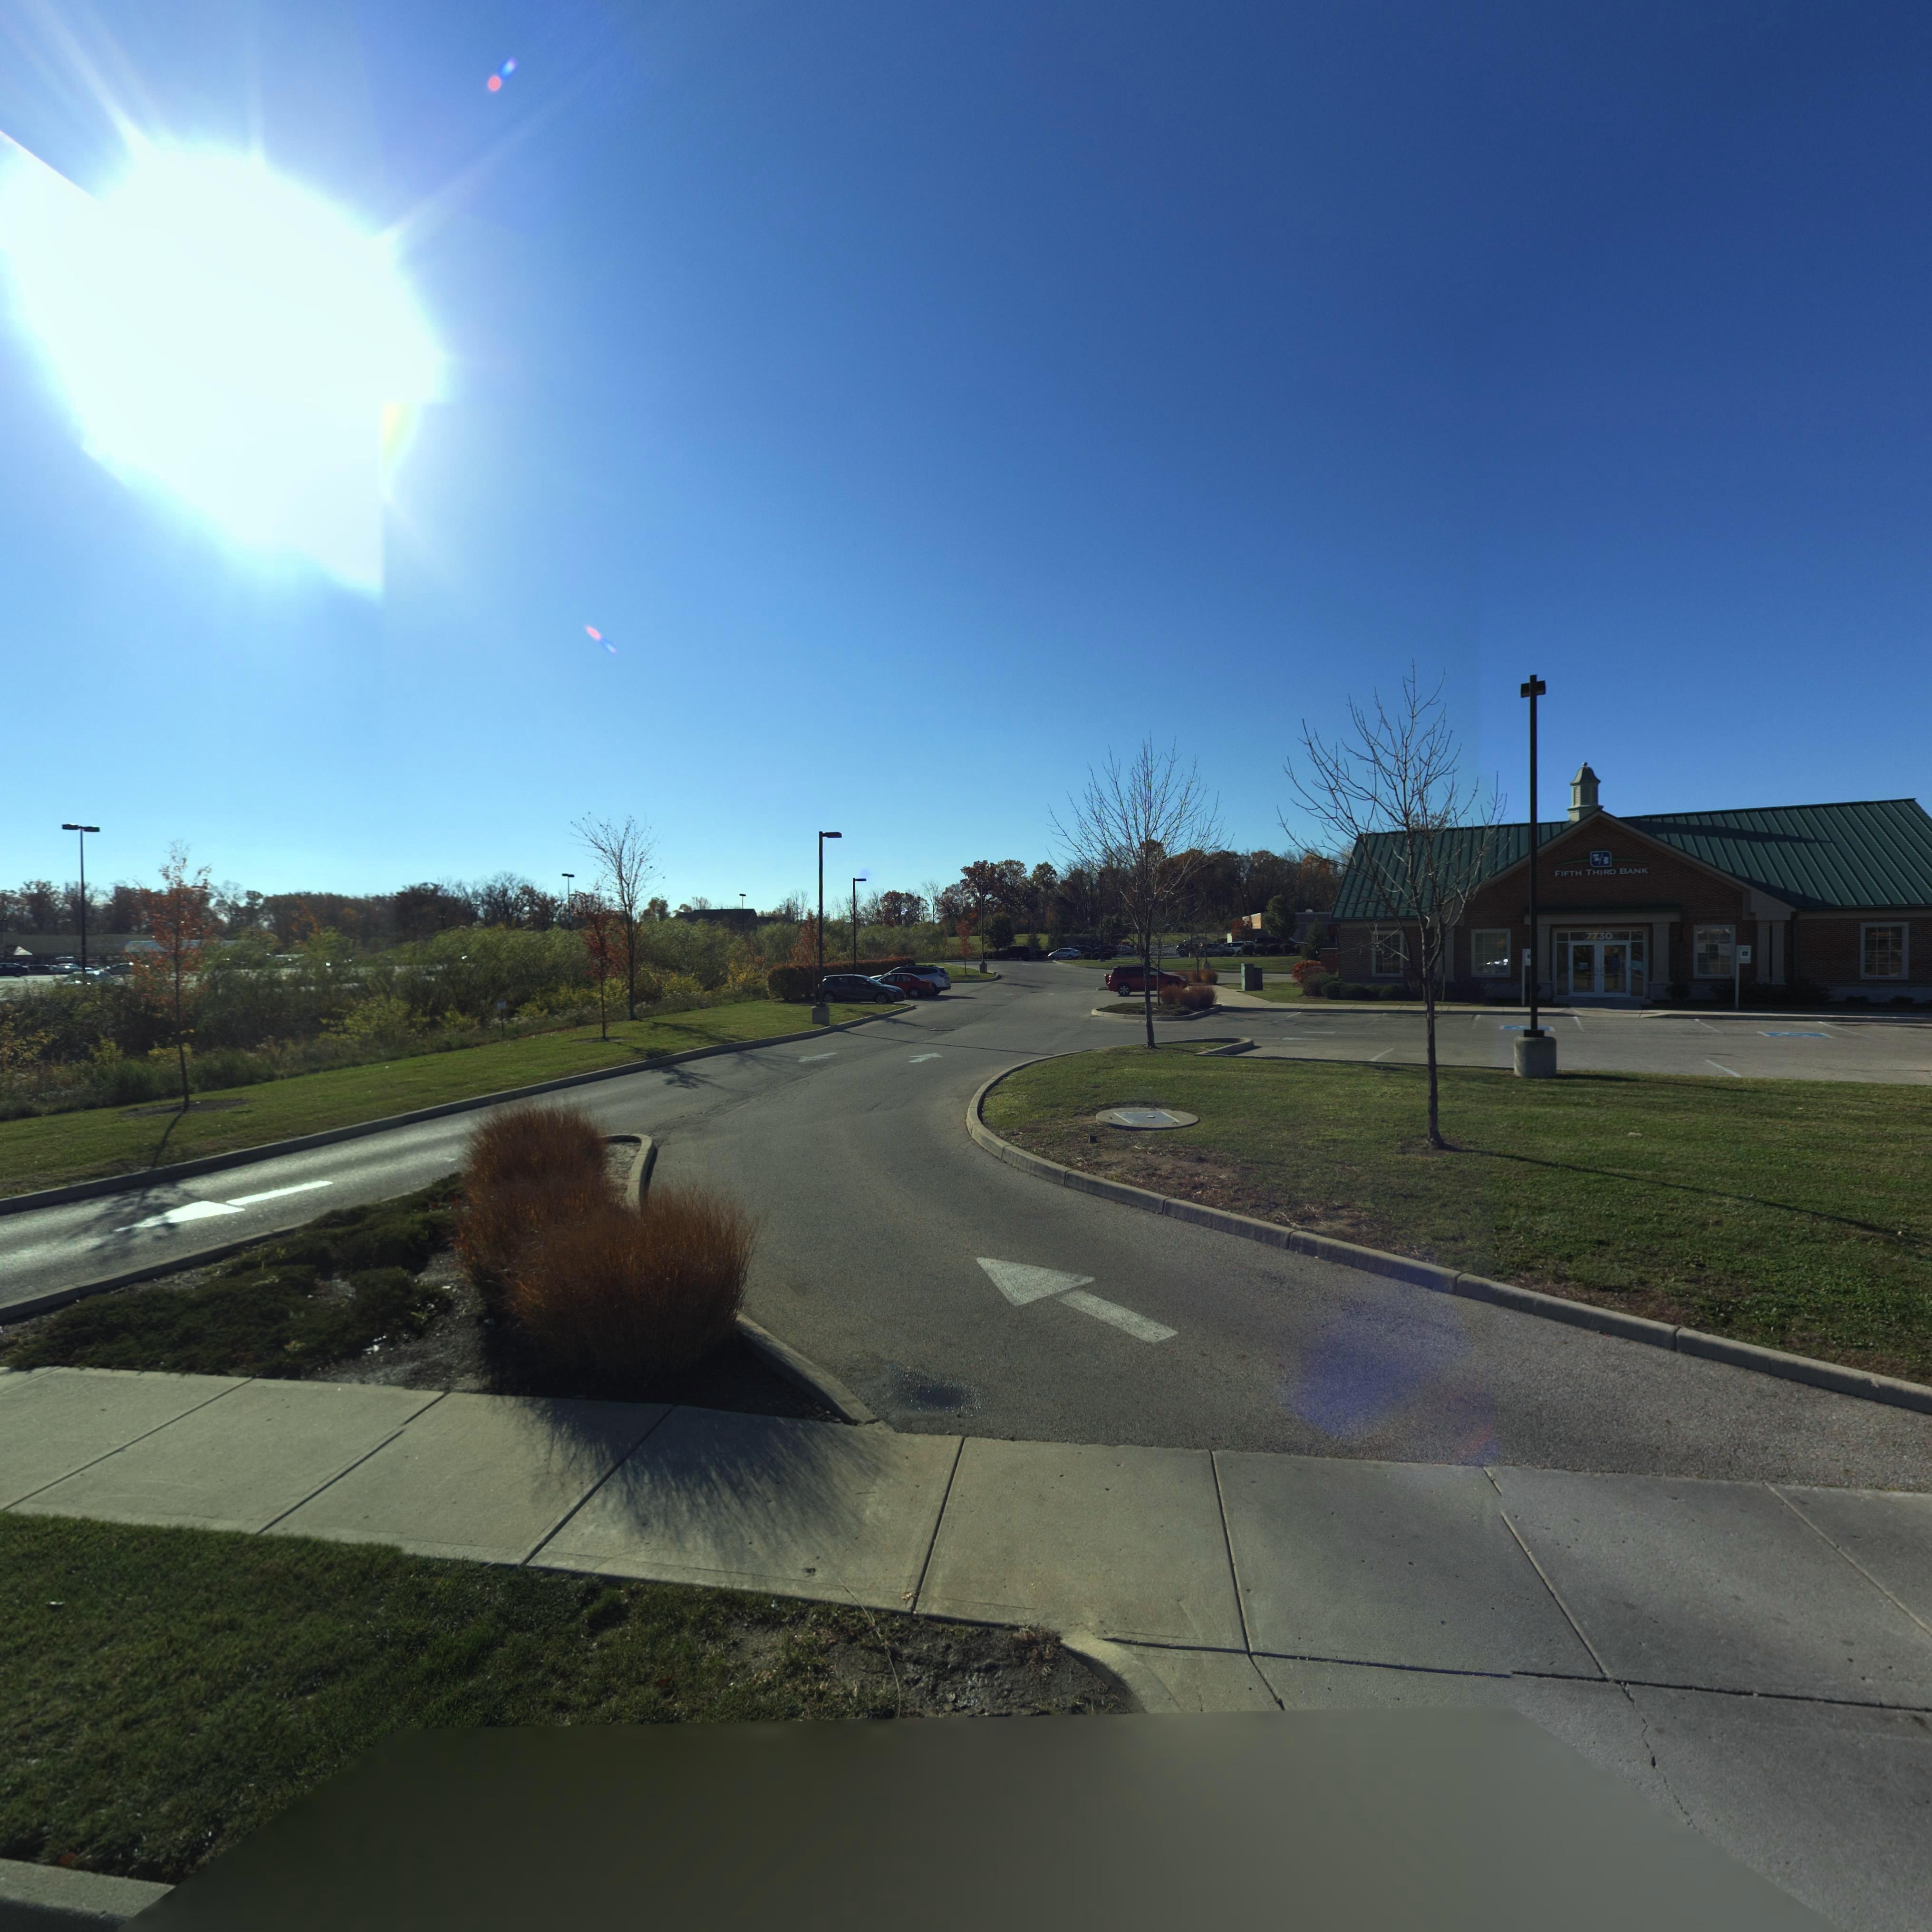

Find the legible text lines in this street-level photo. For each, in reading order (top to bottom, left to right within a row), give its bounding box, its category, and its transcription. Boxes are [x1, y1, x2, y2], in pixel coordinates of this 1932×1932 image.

[1585, 932, 1613, 940] StreetNumber: 7730